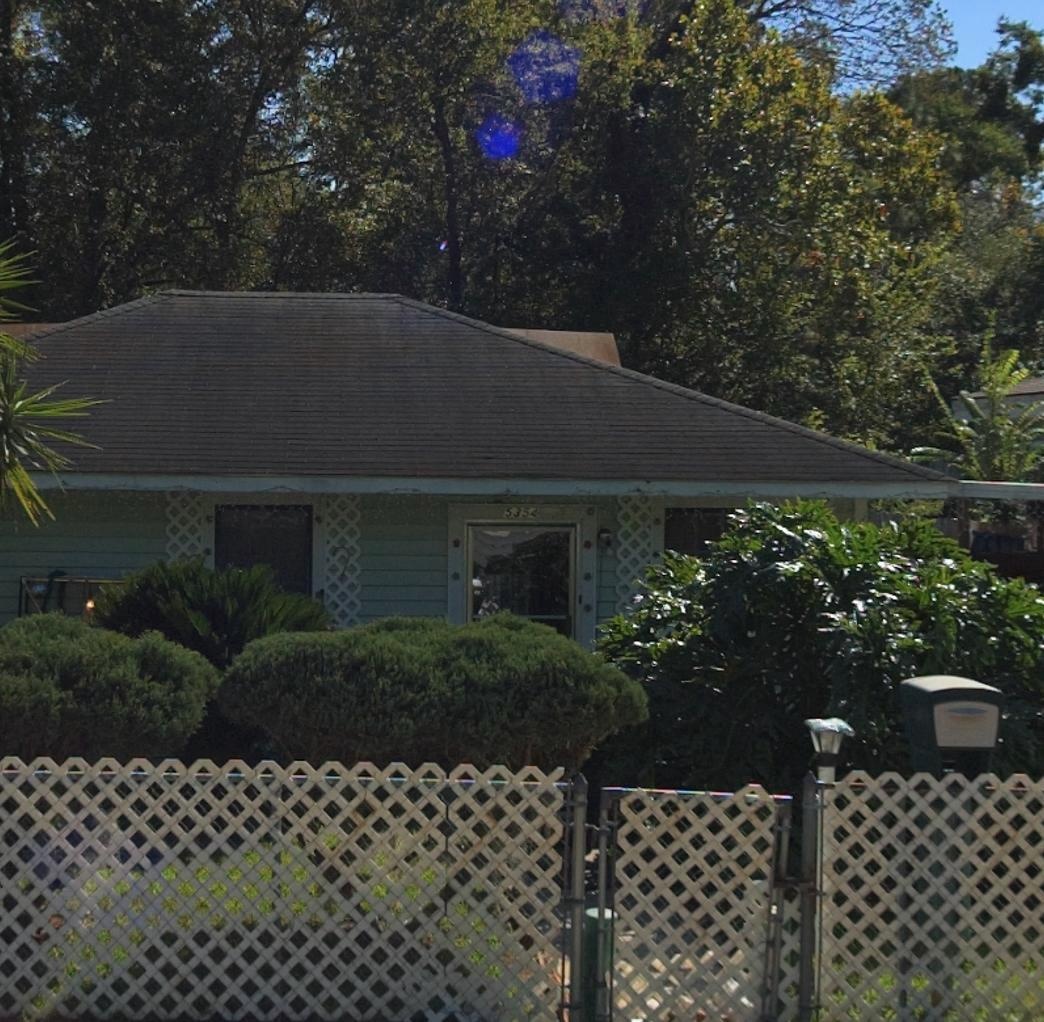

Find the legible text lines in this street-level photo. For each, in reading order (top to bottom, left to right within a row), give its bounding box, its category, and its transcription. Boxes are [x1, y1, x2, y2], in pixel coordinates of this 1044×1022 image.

[503, 507, 539, 518] StreetNumber: 5354